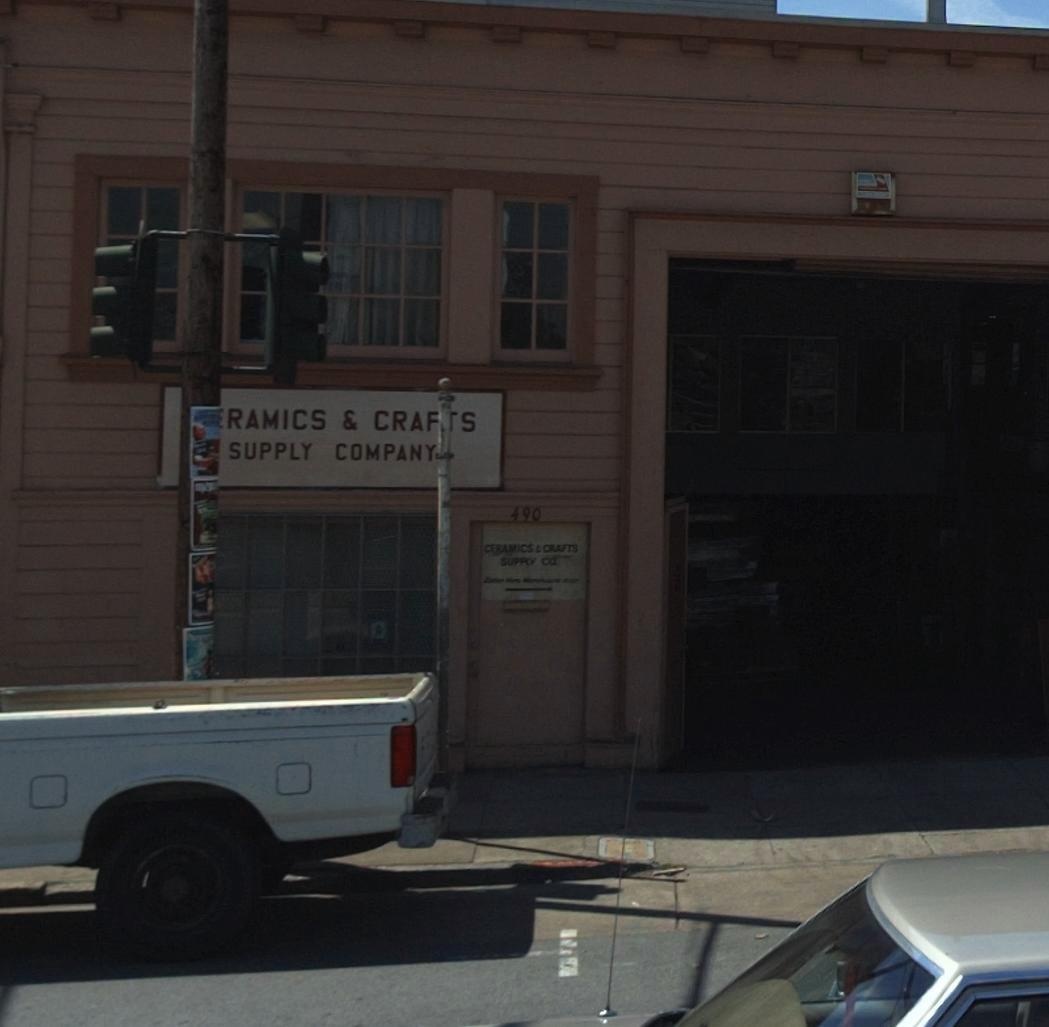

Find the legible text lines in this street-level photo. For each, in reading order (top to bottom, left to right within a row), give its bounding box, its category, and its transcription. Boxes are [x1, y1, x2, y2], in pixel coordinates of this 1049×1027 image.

[226, 406, 438, 433] BusinessName: RAMICS & CRAF
[460, 410, 476, 432] None: S
[227, 440, 438, 462] None: SUPPLY COMPANY
[510, 505, 542, 522] StreetNumber: 490
[483, 543, 578, 554] None: CERAMICS & CRAFTS
[499, 557, 560, 567] None: SUPPLY CO